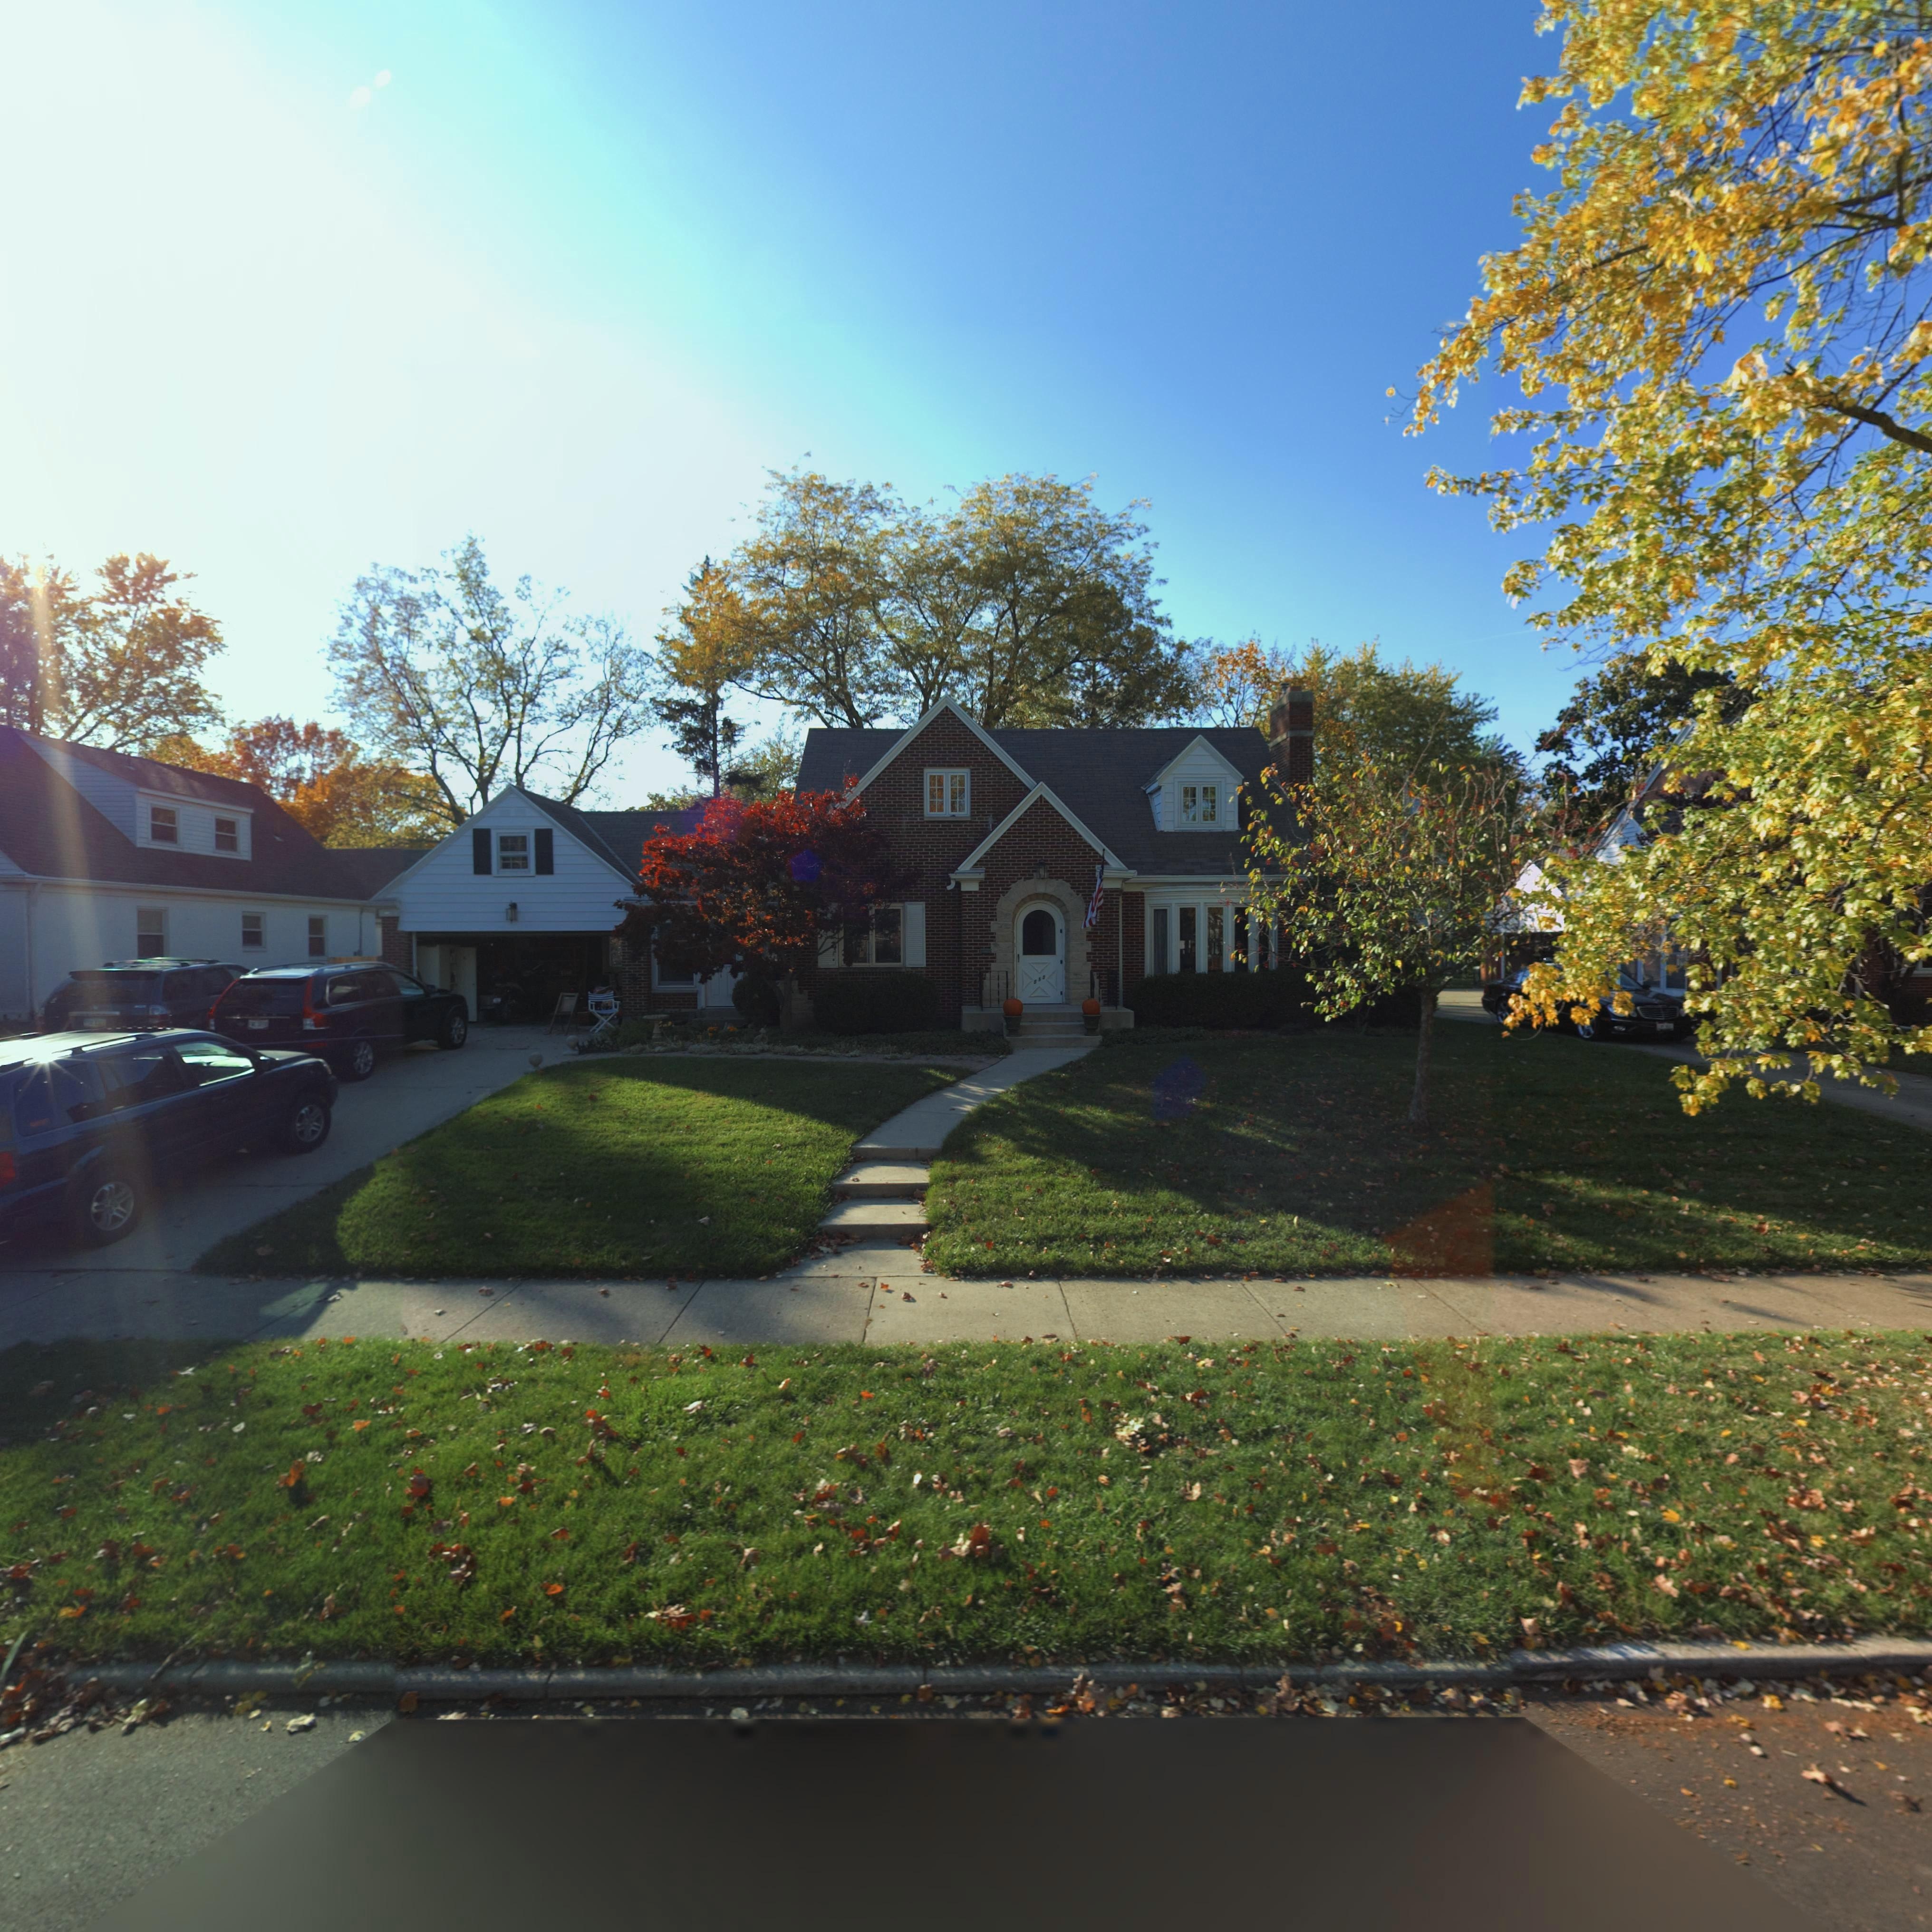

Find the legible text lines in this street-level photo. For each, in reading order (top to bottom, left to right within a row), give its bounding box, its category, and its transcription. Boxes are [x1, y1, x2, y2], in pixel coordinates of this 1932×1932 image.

[1033, 974, 1046, 985] StreetNumber: 55*